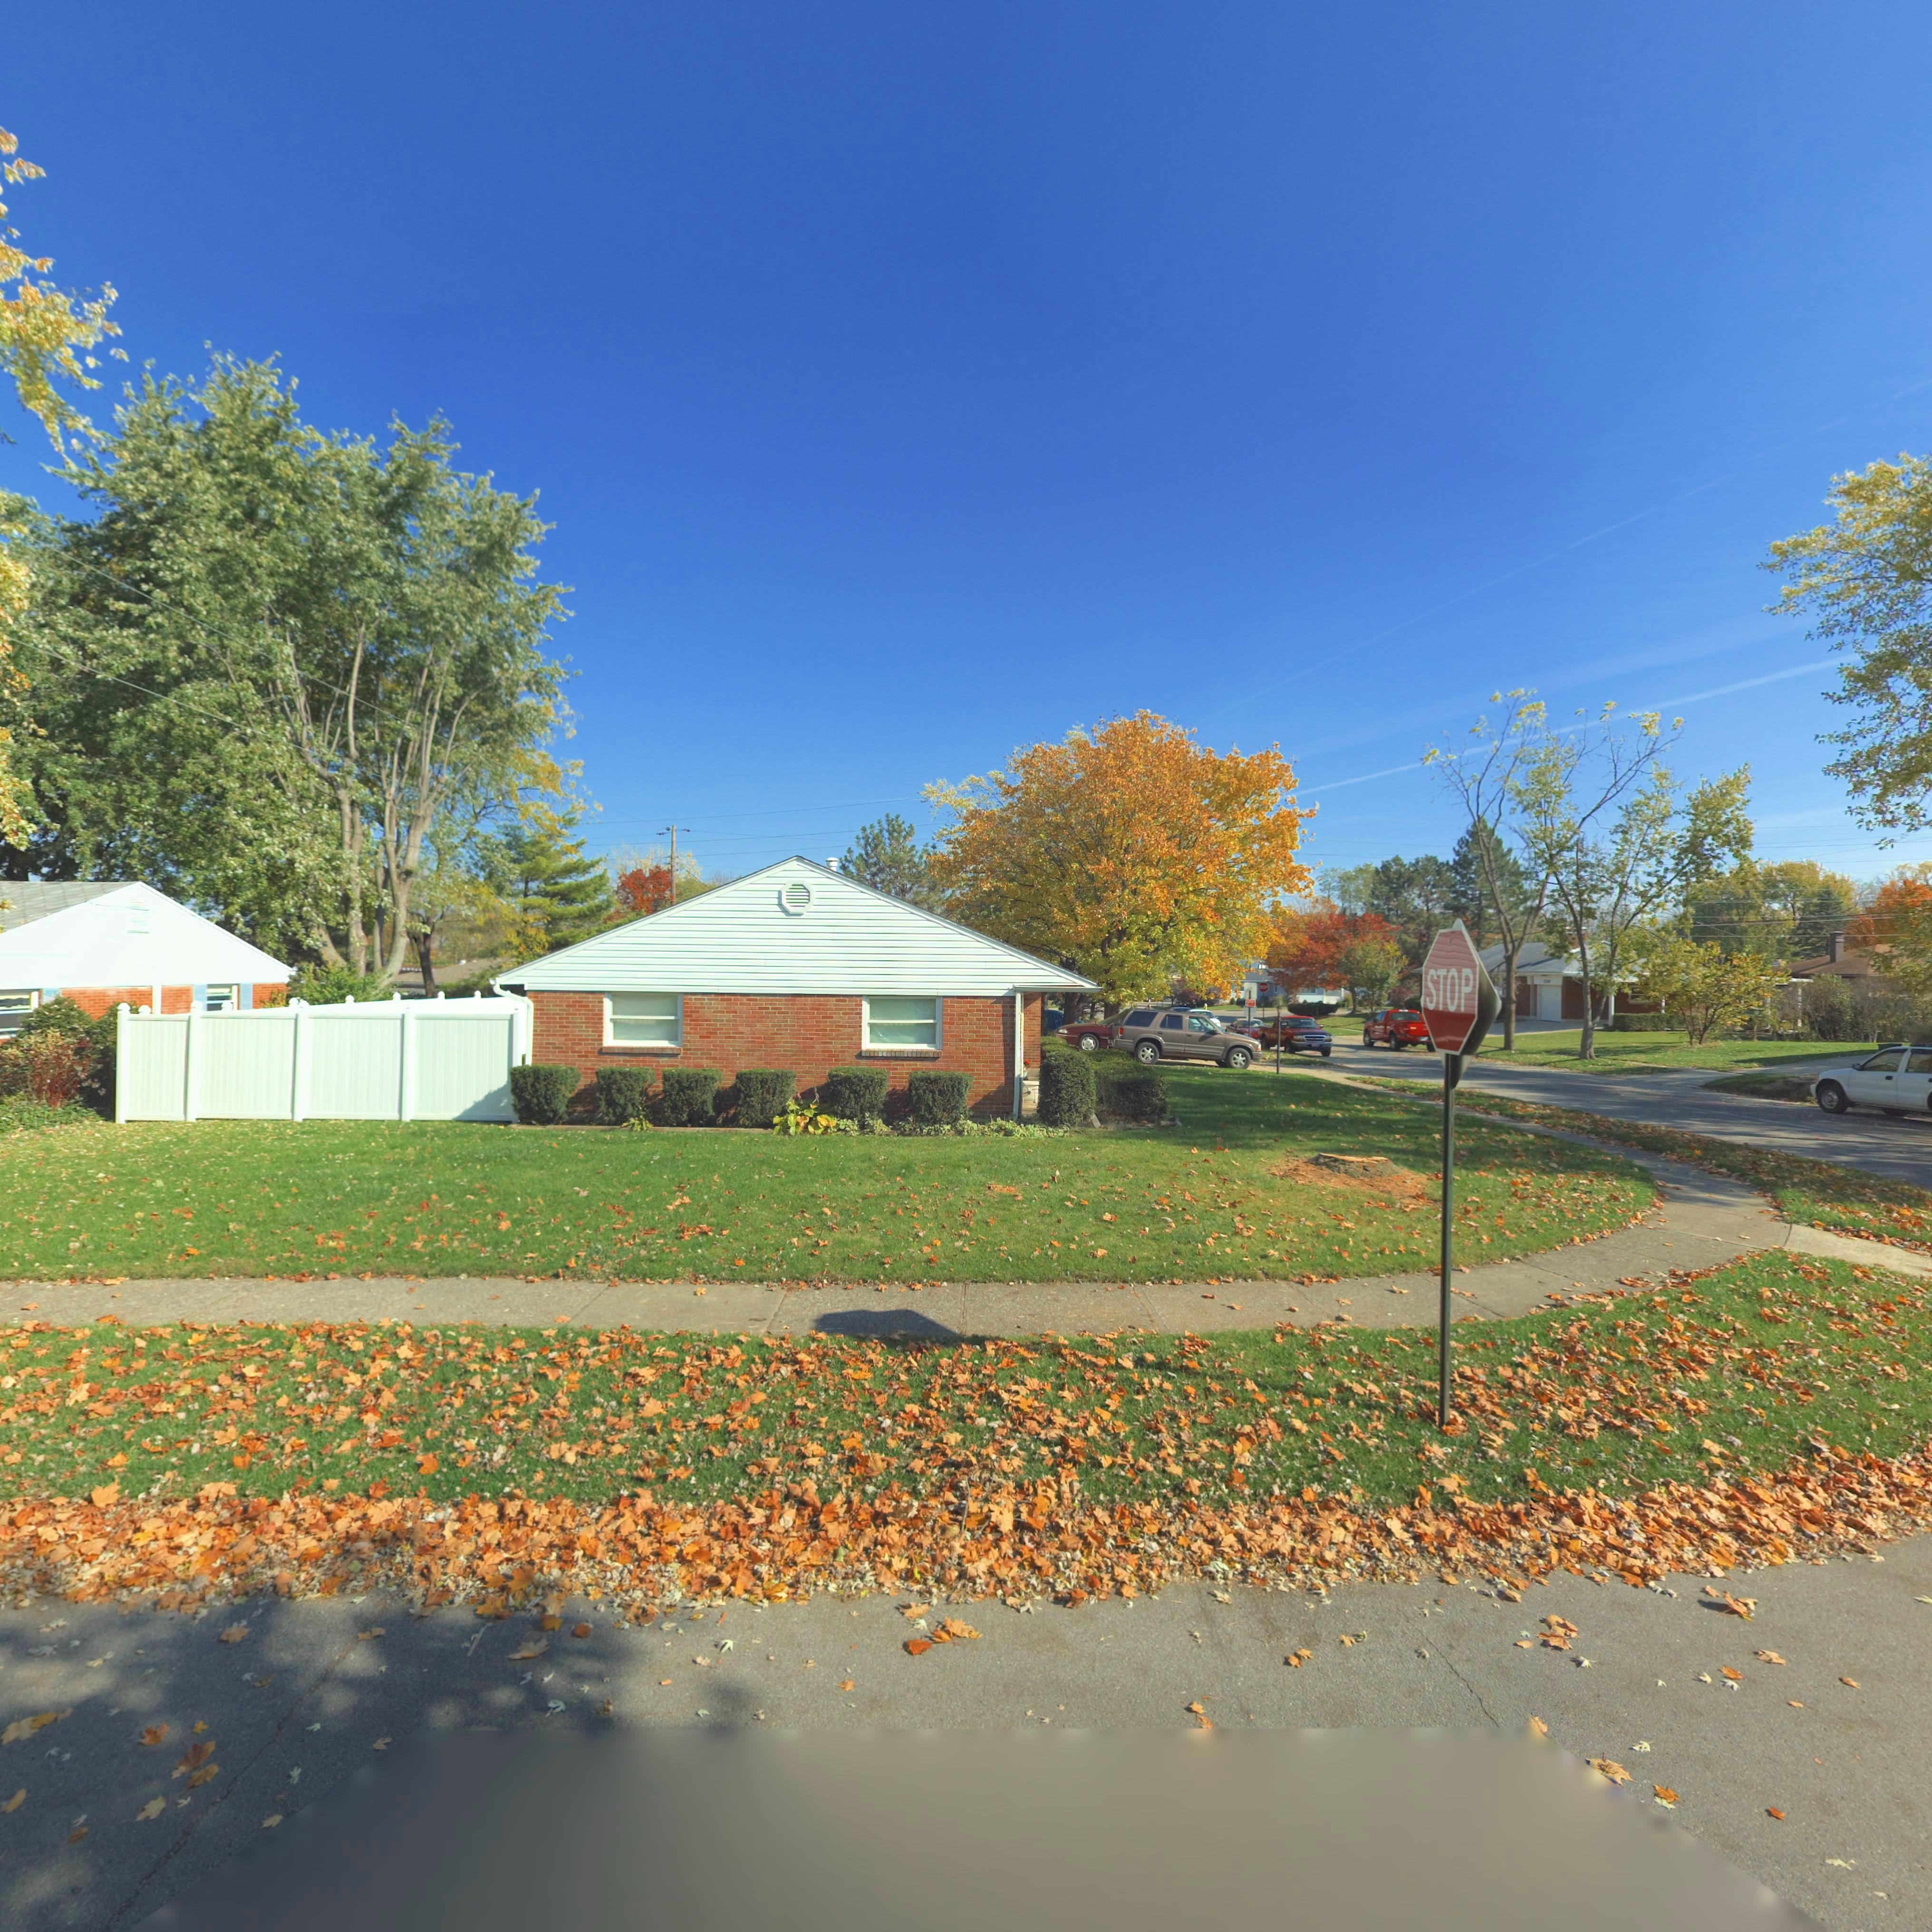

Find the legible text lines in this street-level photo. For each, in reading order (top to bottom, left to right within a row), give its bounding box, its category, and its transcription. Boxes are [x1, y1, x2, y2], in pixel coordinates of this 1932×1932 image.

[1424, 966, 1475, 1014] None: STOP